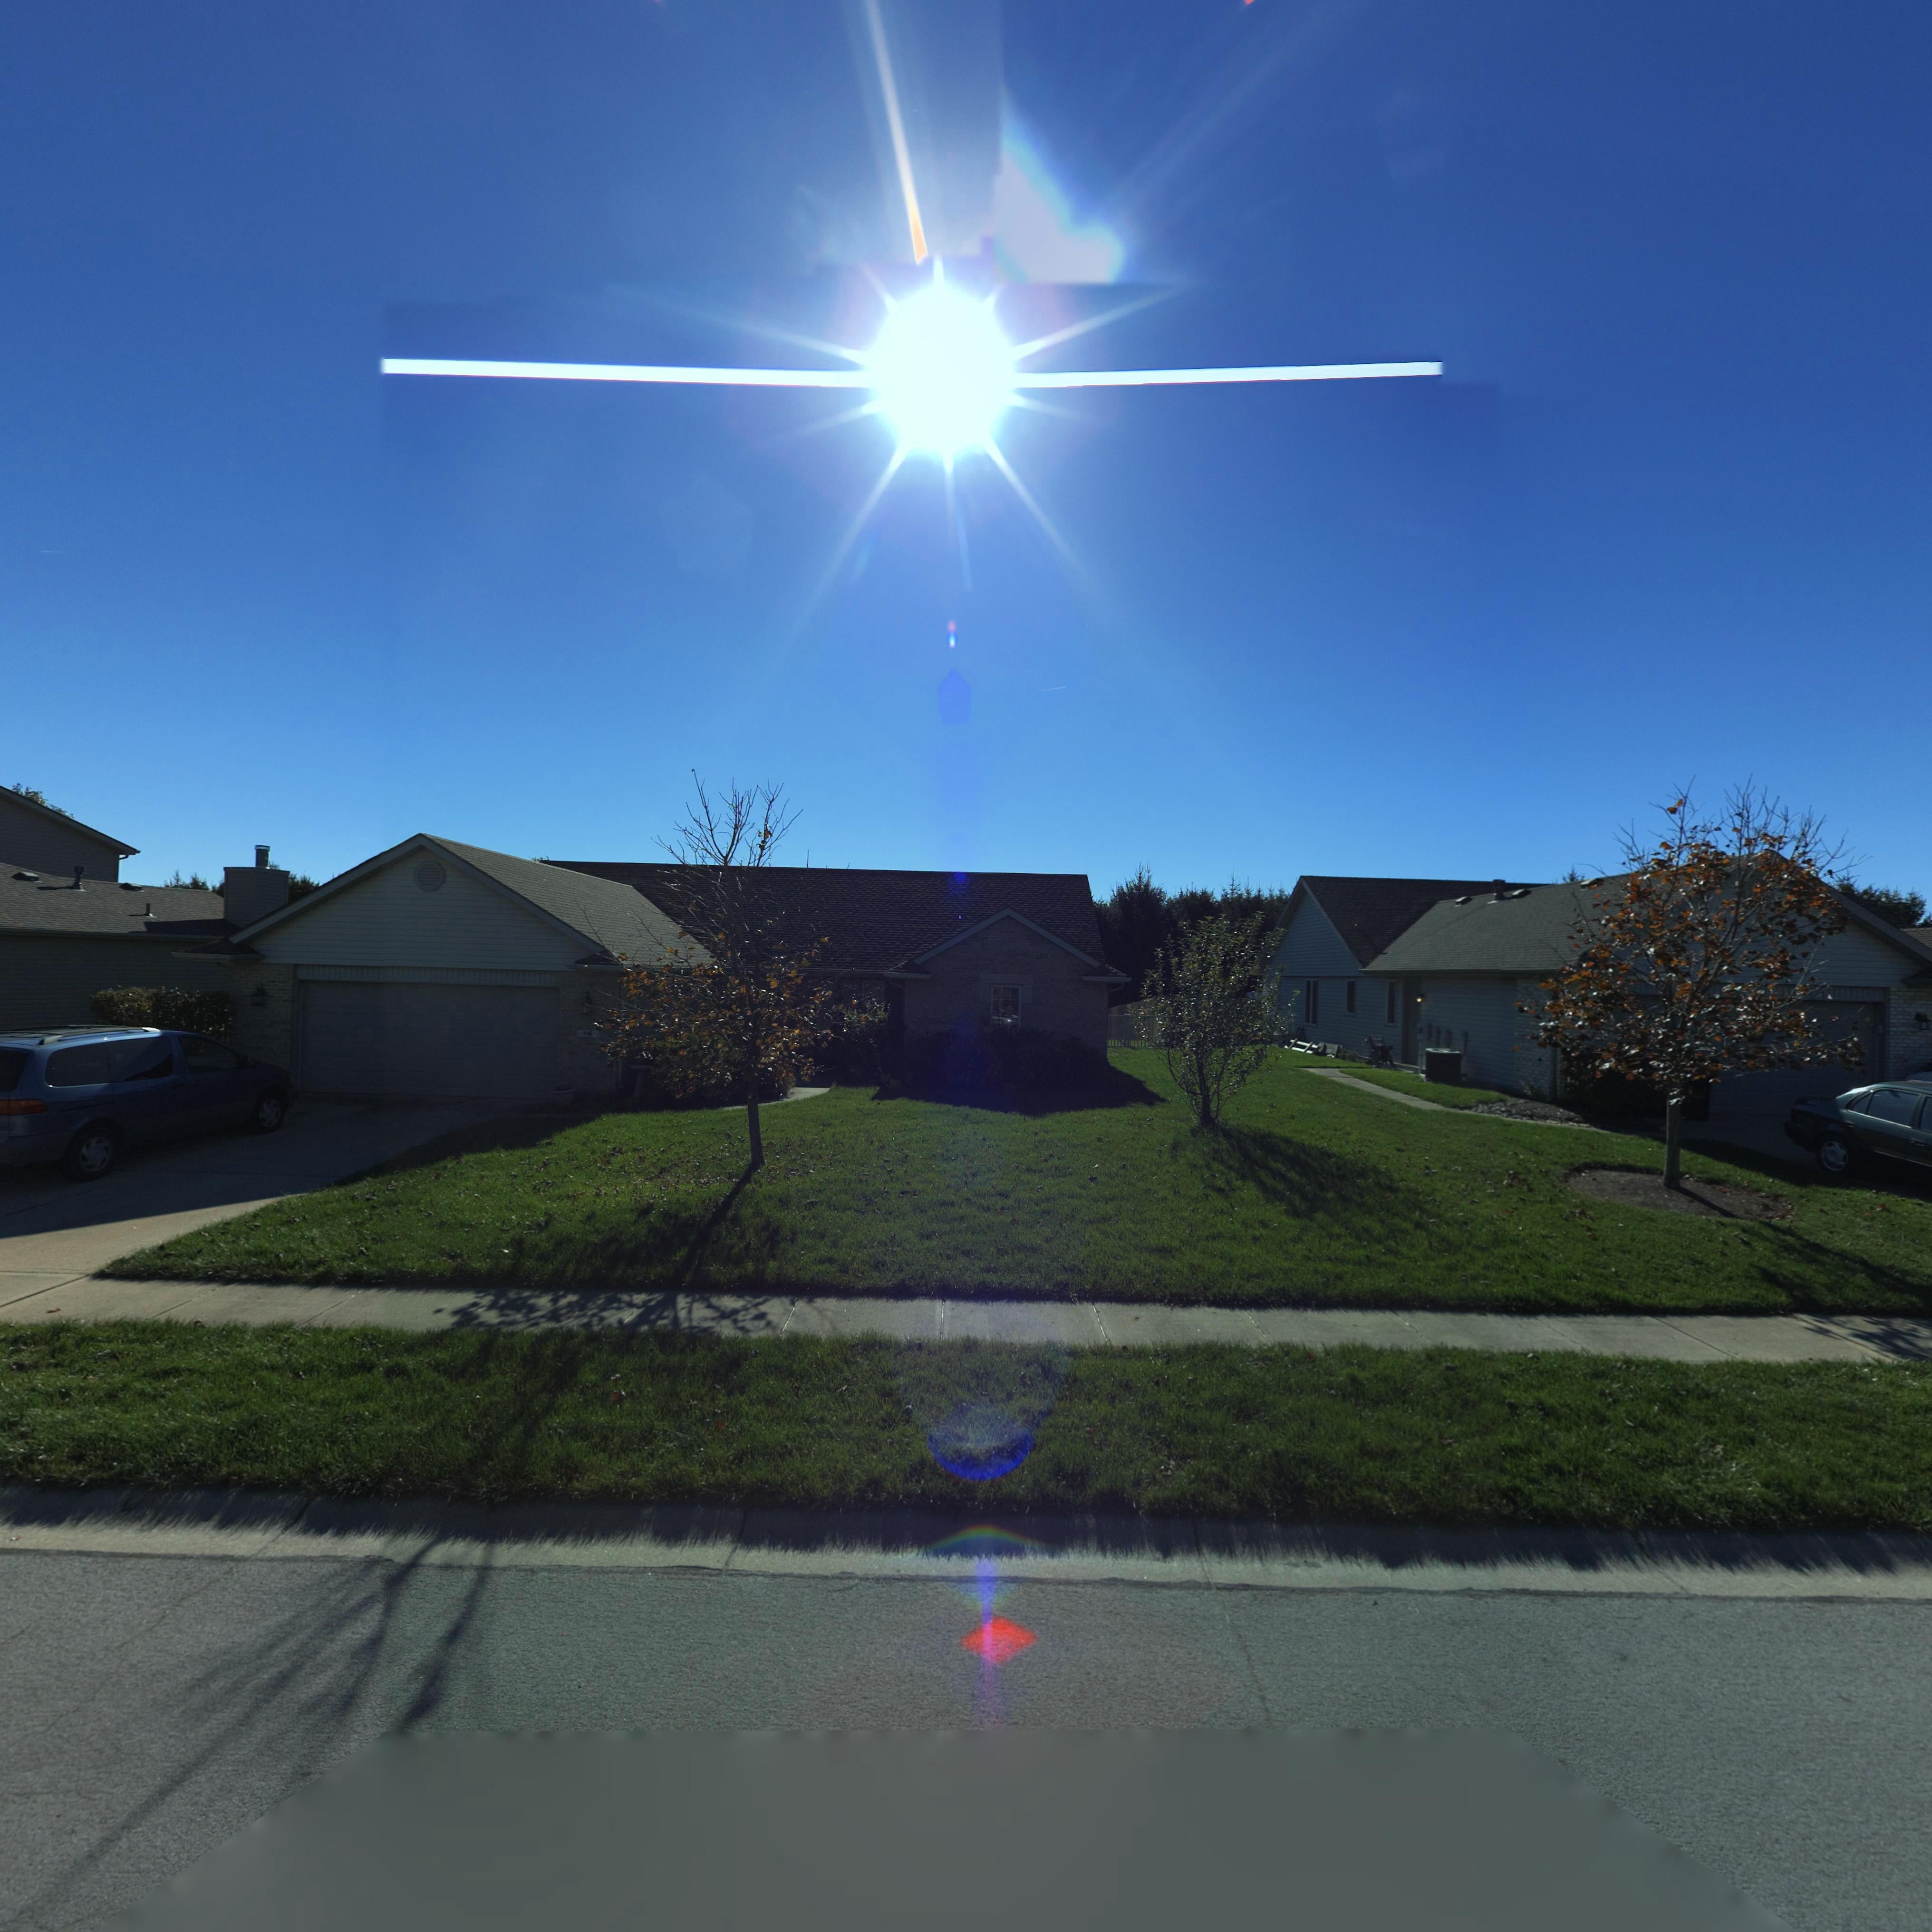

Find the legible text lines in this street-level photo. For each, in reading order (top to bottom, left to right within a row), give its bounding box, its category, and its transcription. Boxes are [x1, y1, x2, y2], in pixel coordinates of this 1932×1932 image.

[583, 1031, 593, 1036] StreetNumber: 14*